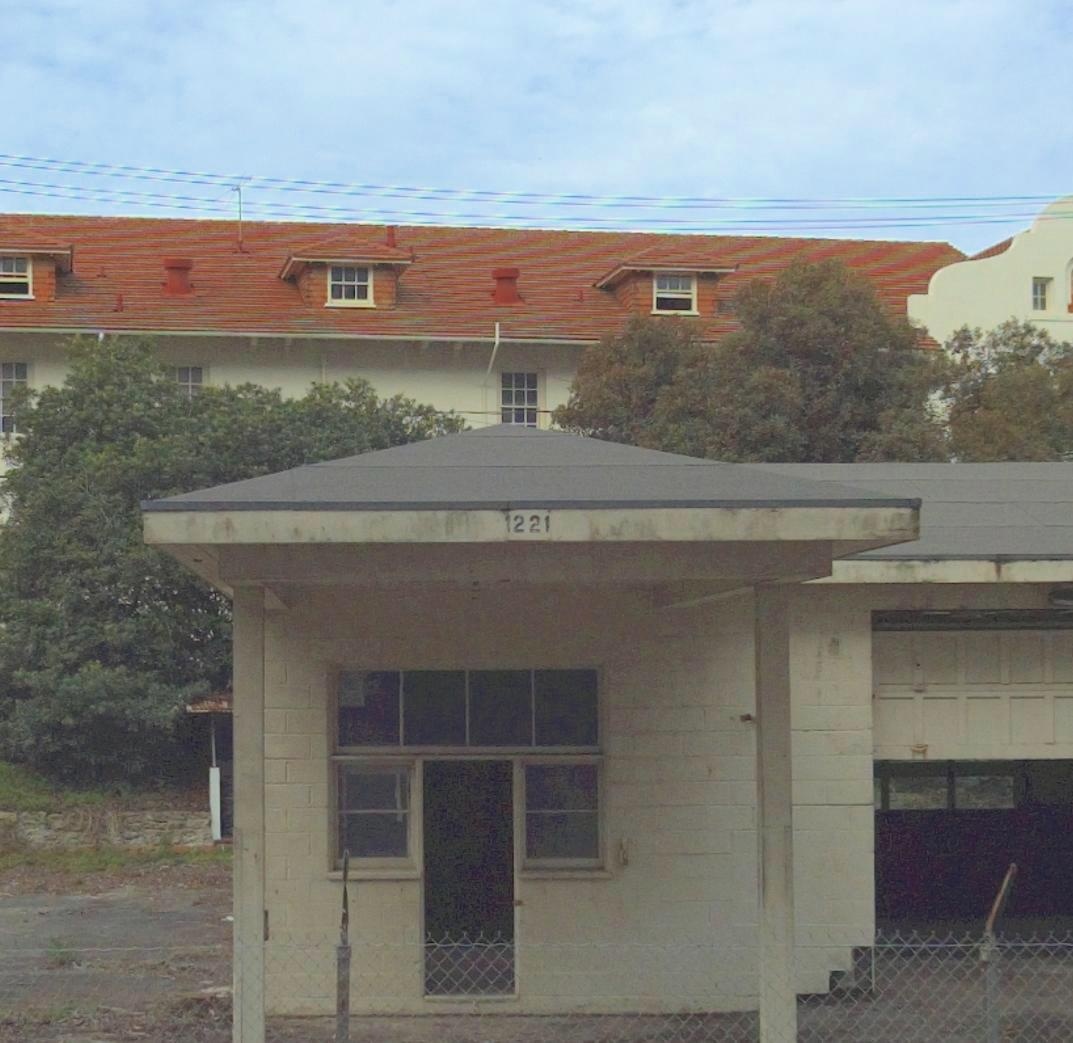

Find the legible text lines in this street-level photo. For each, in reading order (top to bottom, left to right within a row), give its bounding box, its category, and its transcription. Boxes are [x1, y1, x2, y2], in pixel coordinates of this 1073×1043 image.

[503, 515, 551, 534] StreetNumber: 1221